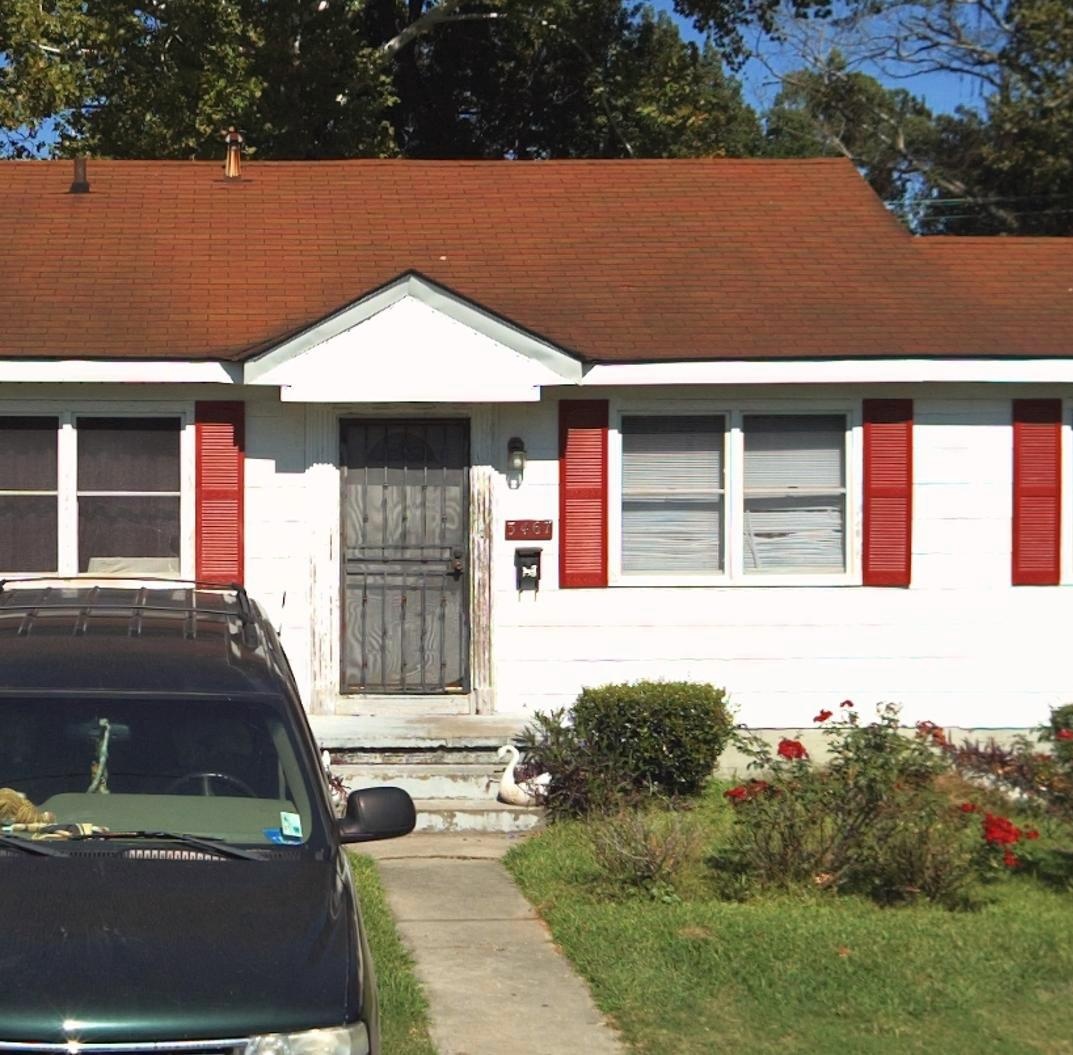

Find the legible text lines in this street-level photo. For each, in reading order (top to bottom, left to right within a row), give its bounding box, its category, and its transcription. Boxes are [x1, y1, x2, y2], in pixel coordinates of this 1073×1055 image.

[506, 520, 553, 537] StreetNumber: 3467